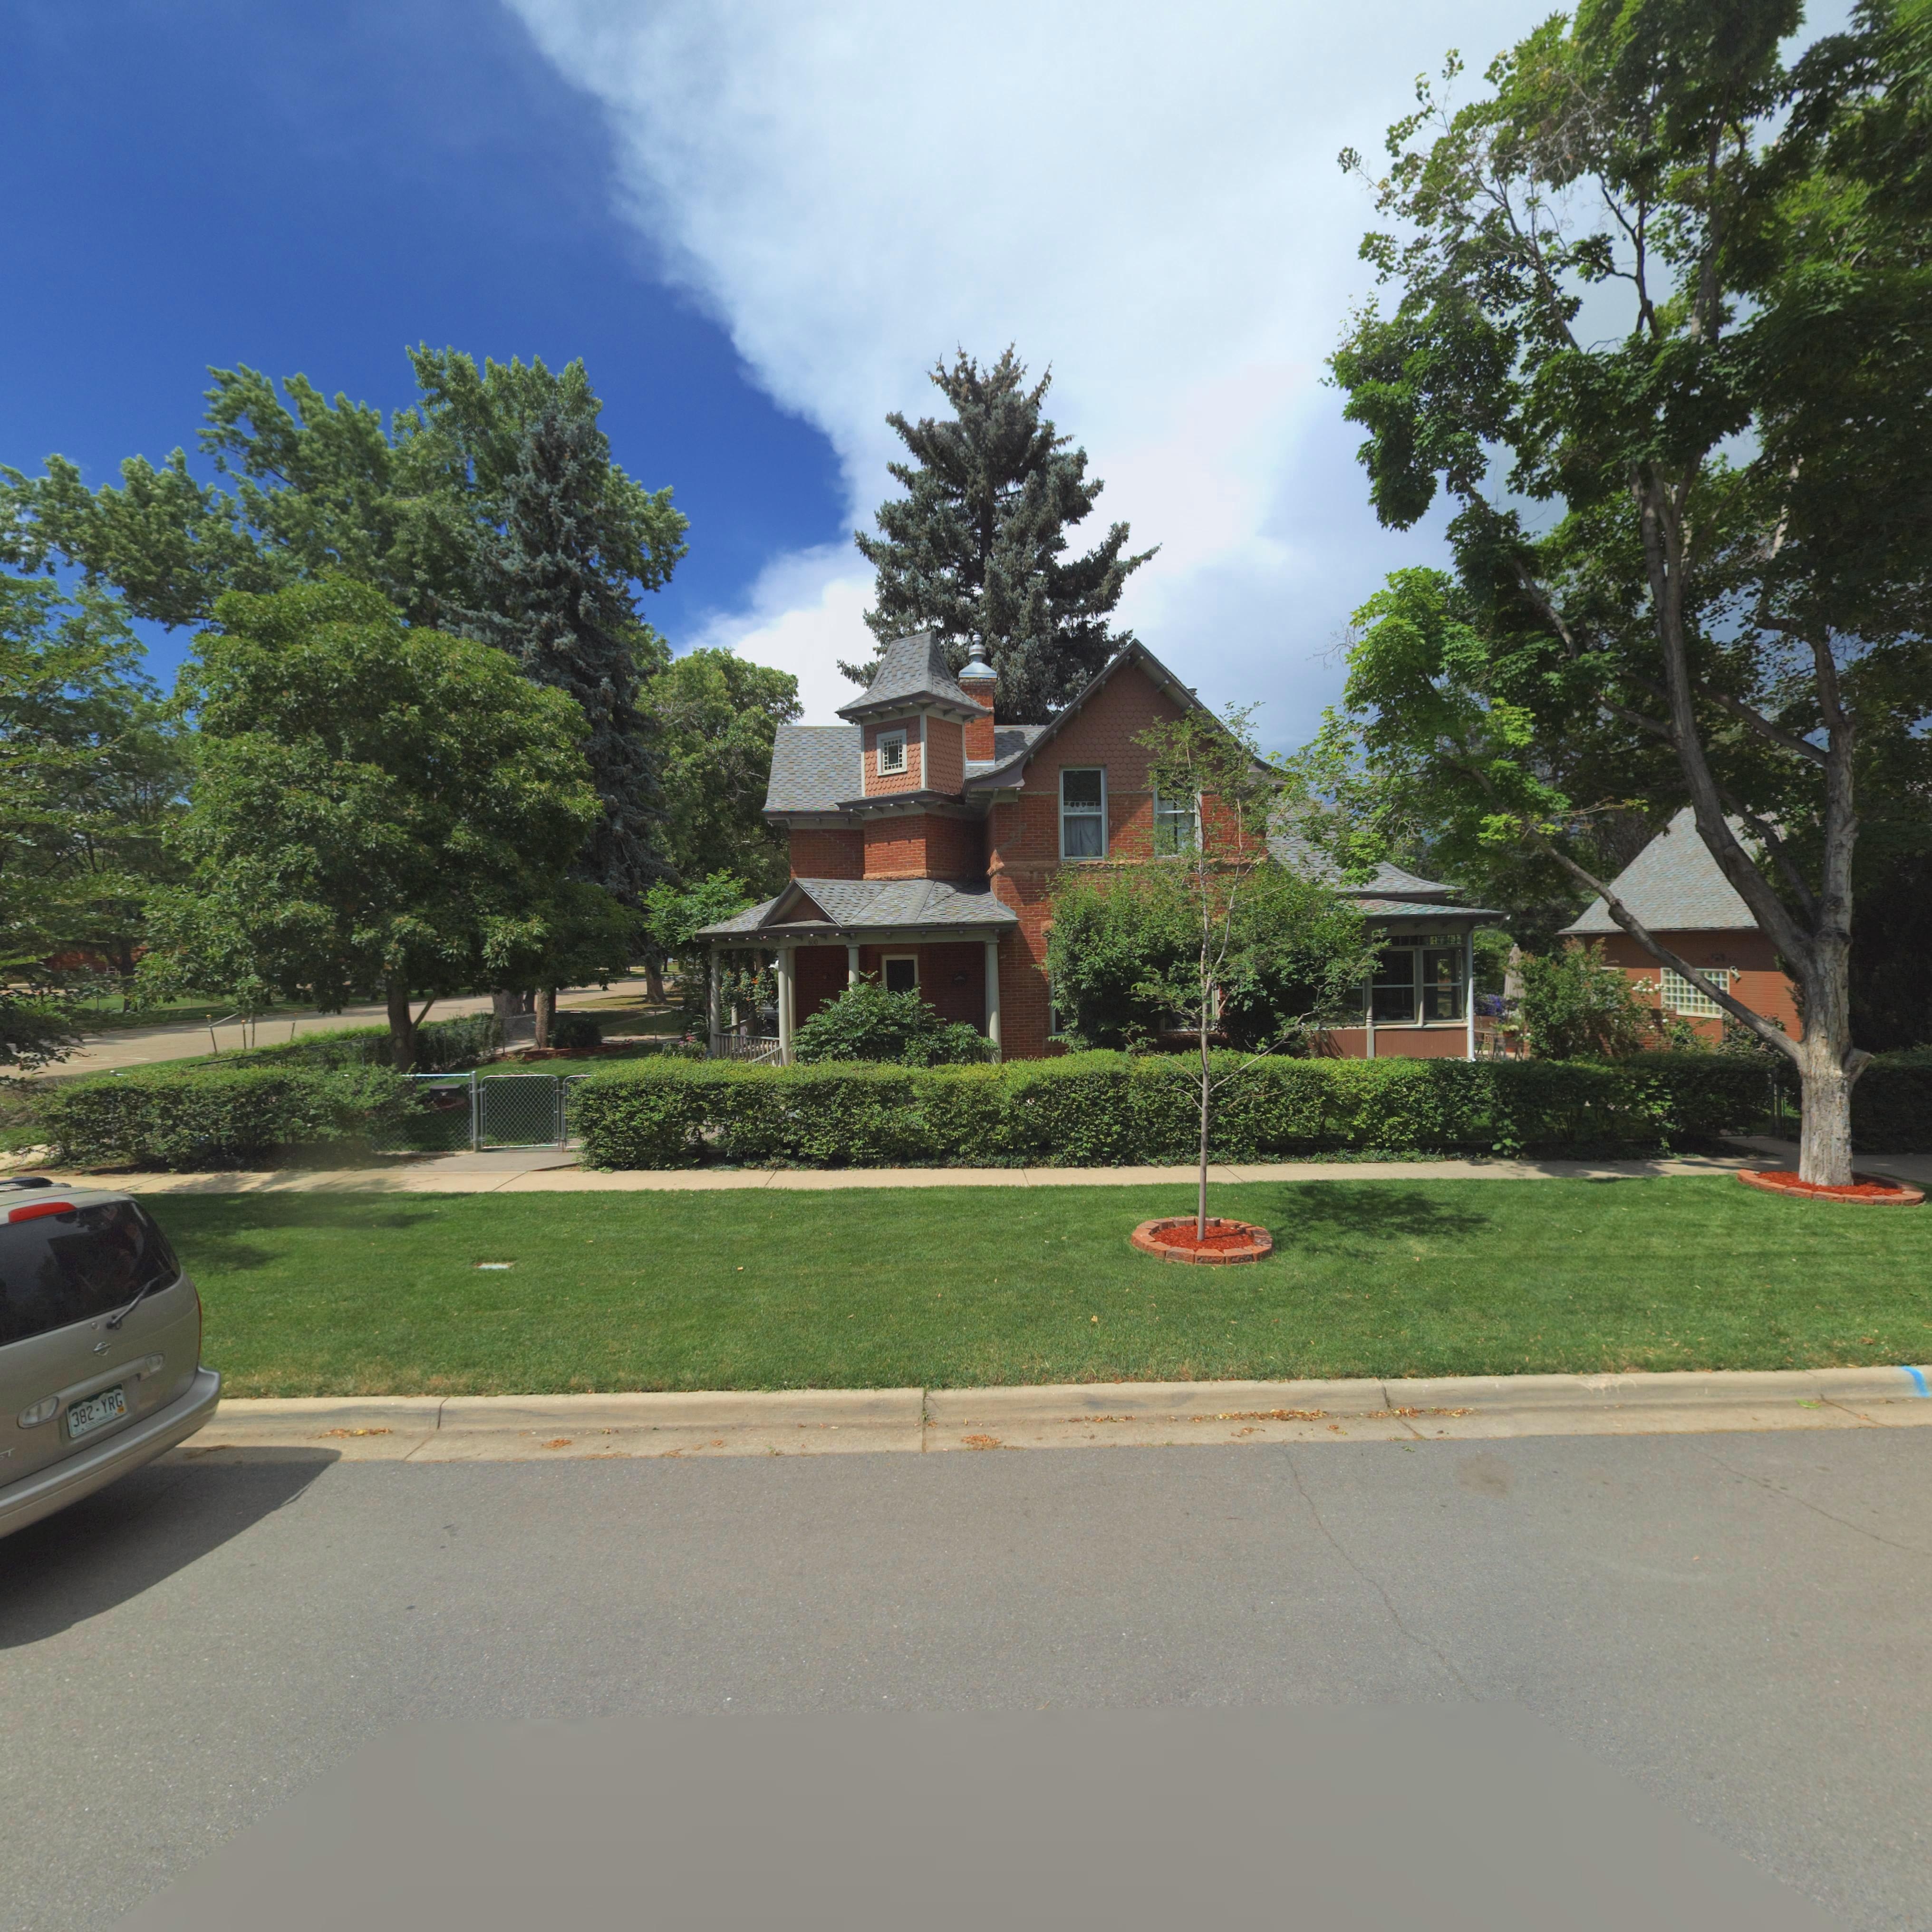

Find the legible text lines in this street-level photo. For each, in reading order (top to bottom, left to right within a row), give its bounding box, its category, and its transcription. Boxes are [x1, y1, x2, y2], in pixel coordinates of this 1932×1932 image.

[807, 938, 818, 946] StreetNumber: 600